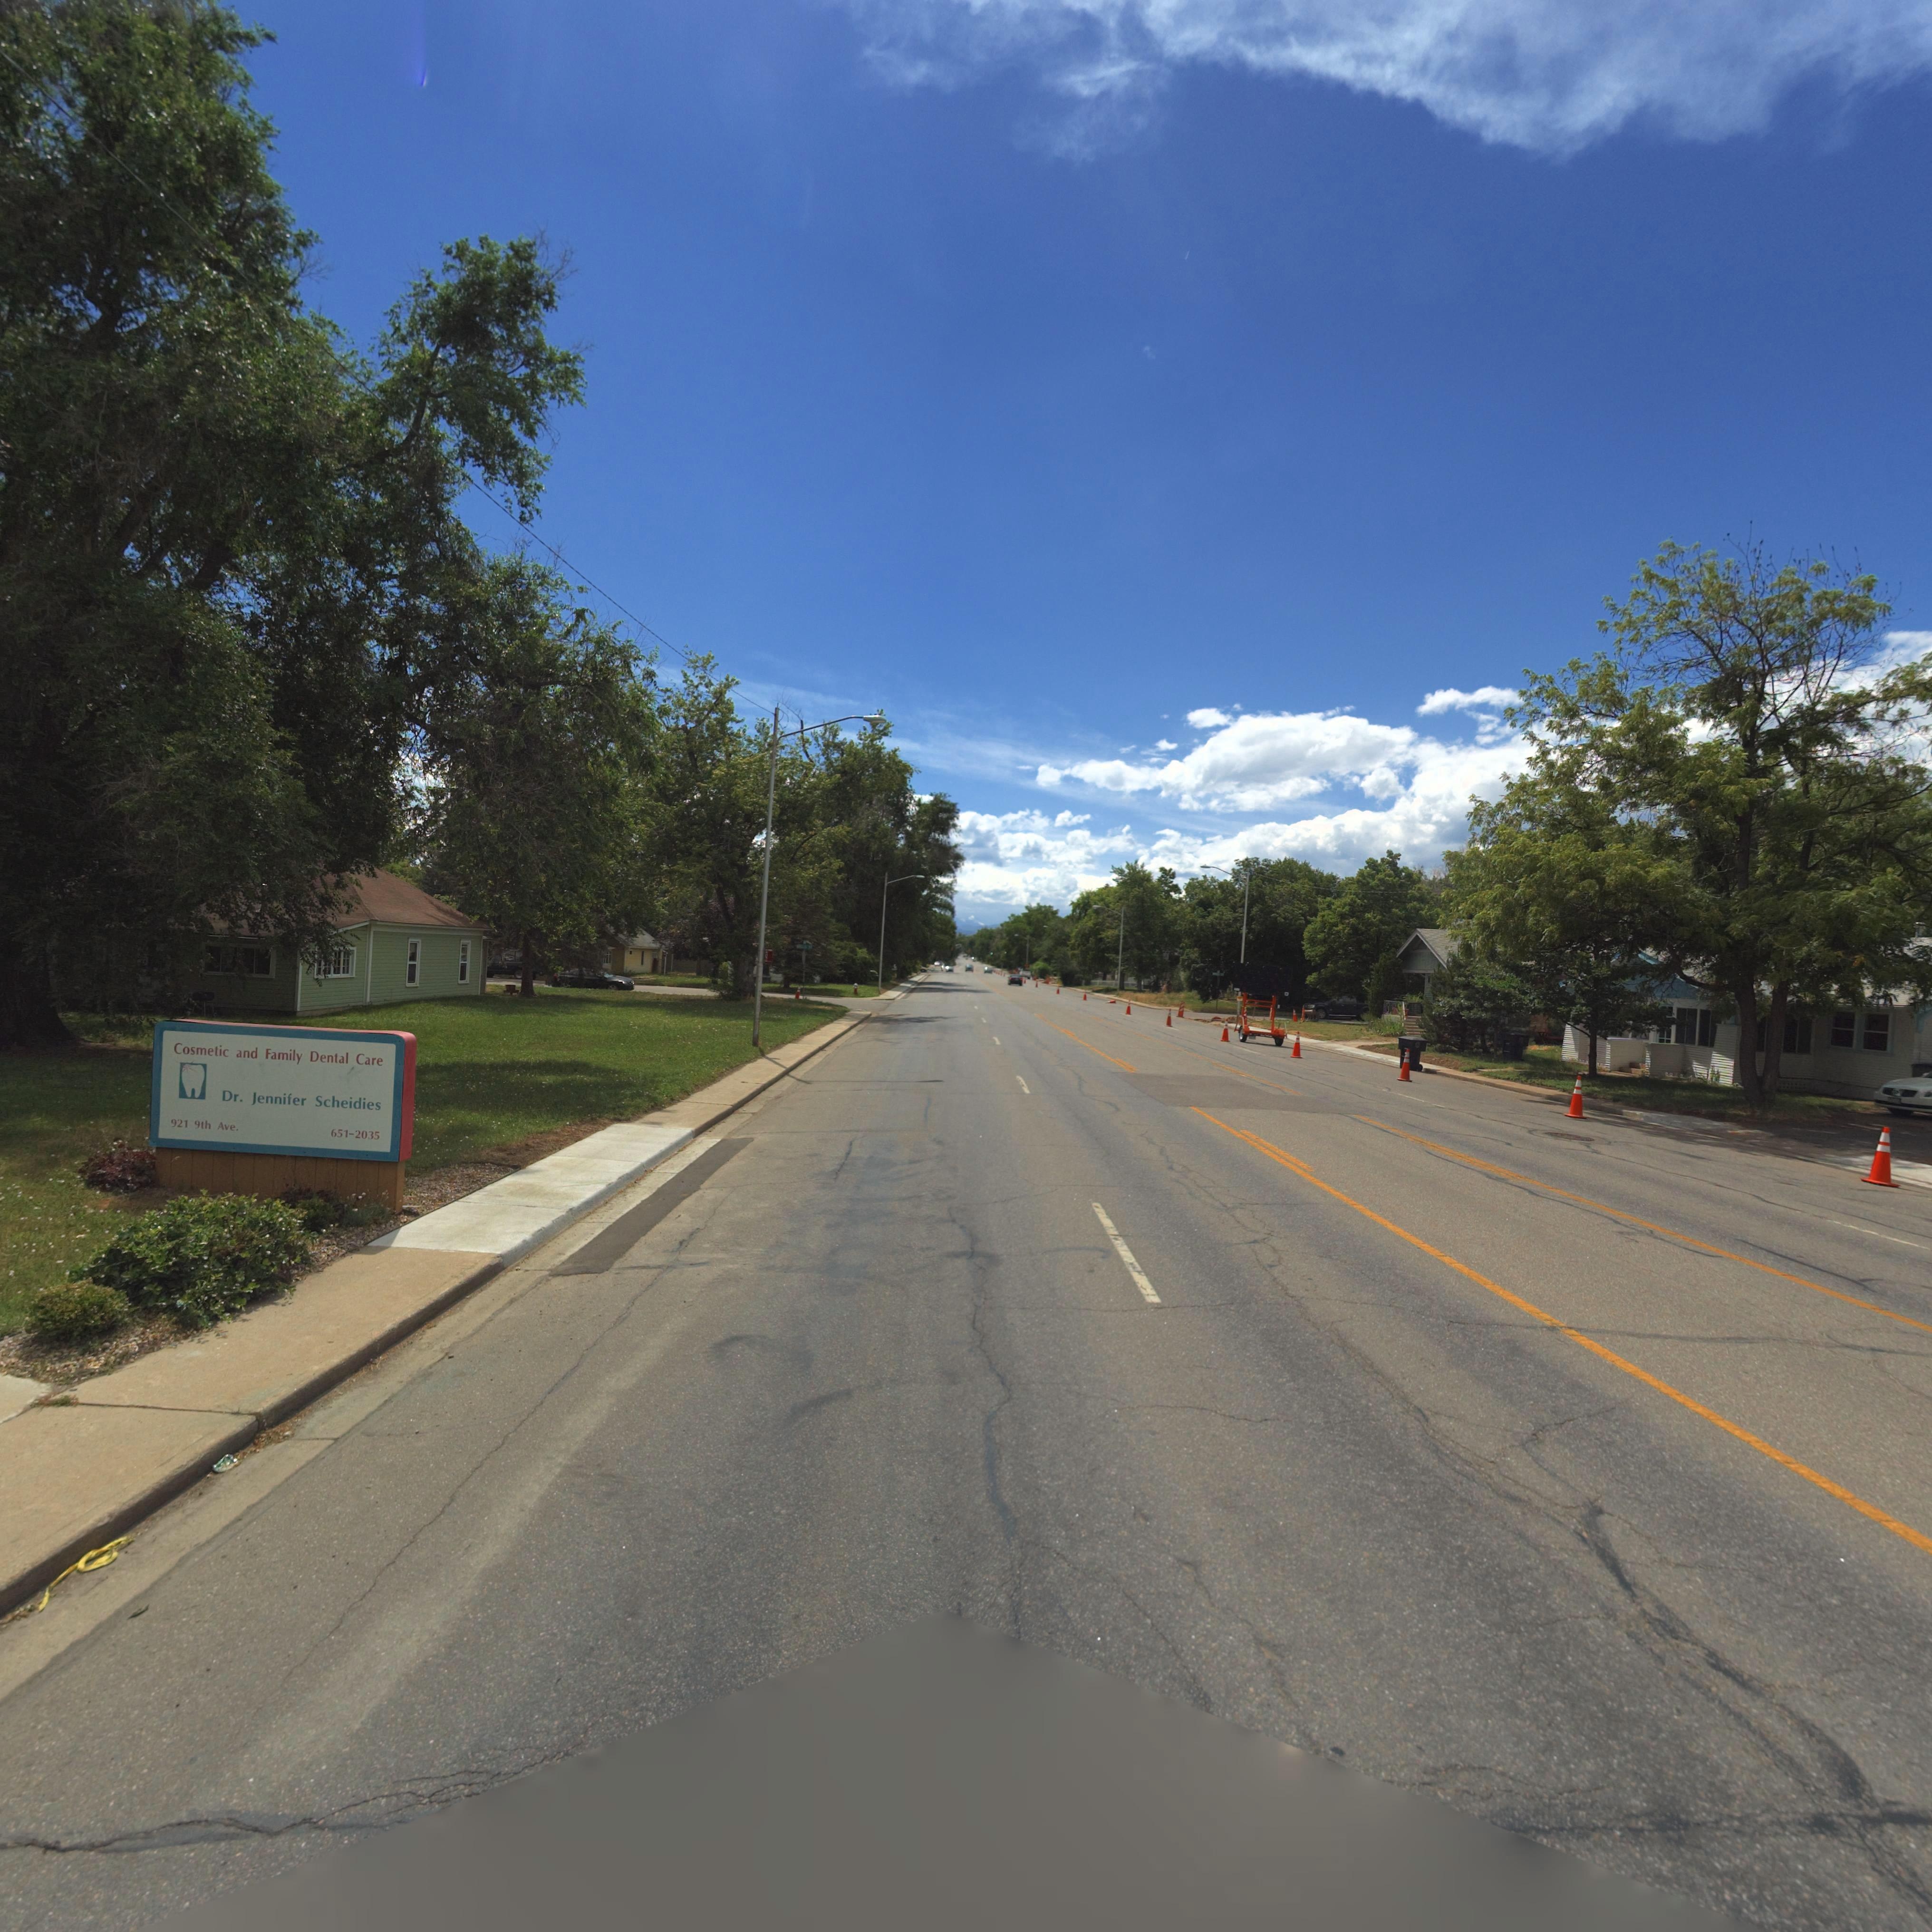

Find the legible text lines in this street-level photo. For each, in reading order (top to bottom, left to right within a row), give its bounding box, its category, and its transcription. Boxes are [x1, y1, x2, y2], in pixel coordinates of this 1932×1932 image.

[796, 945, 812, 949] StreetName: ****S S*
[174, 1042, 383, 1066] BusinessName: Cosmetic and Family Dental Care
[222, 1090, 381, 1110] BusinessName: Dr. Jennifer Scheidies
[170, 1118, 188, 1128] StreetNumber: 921
[194, 1120, 239, 1131] StreetName: 9th Ave.